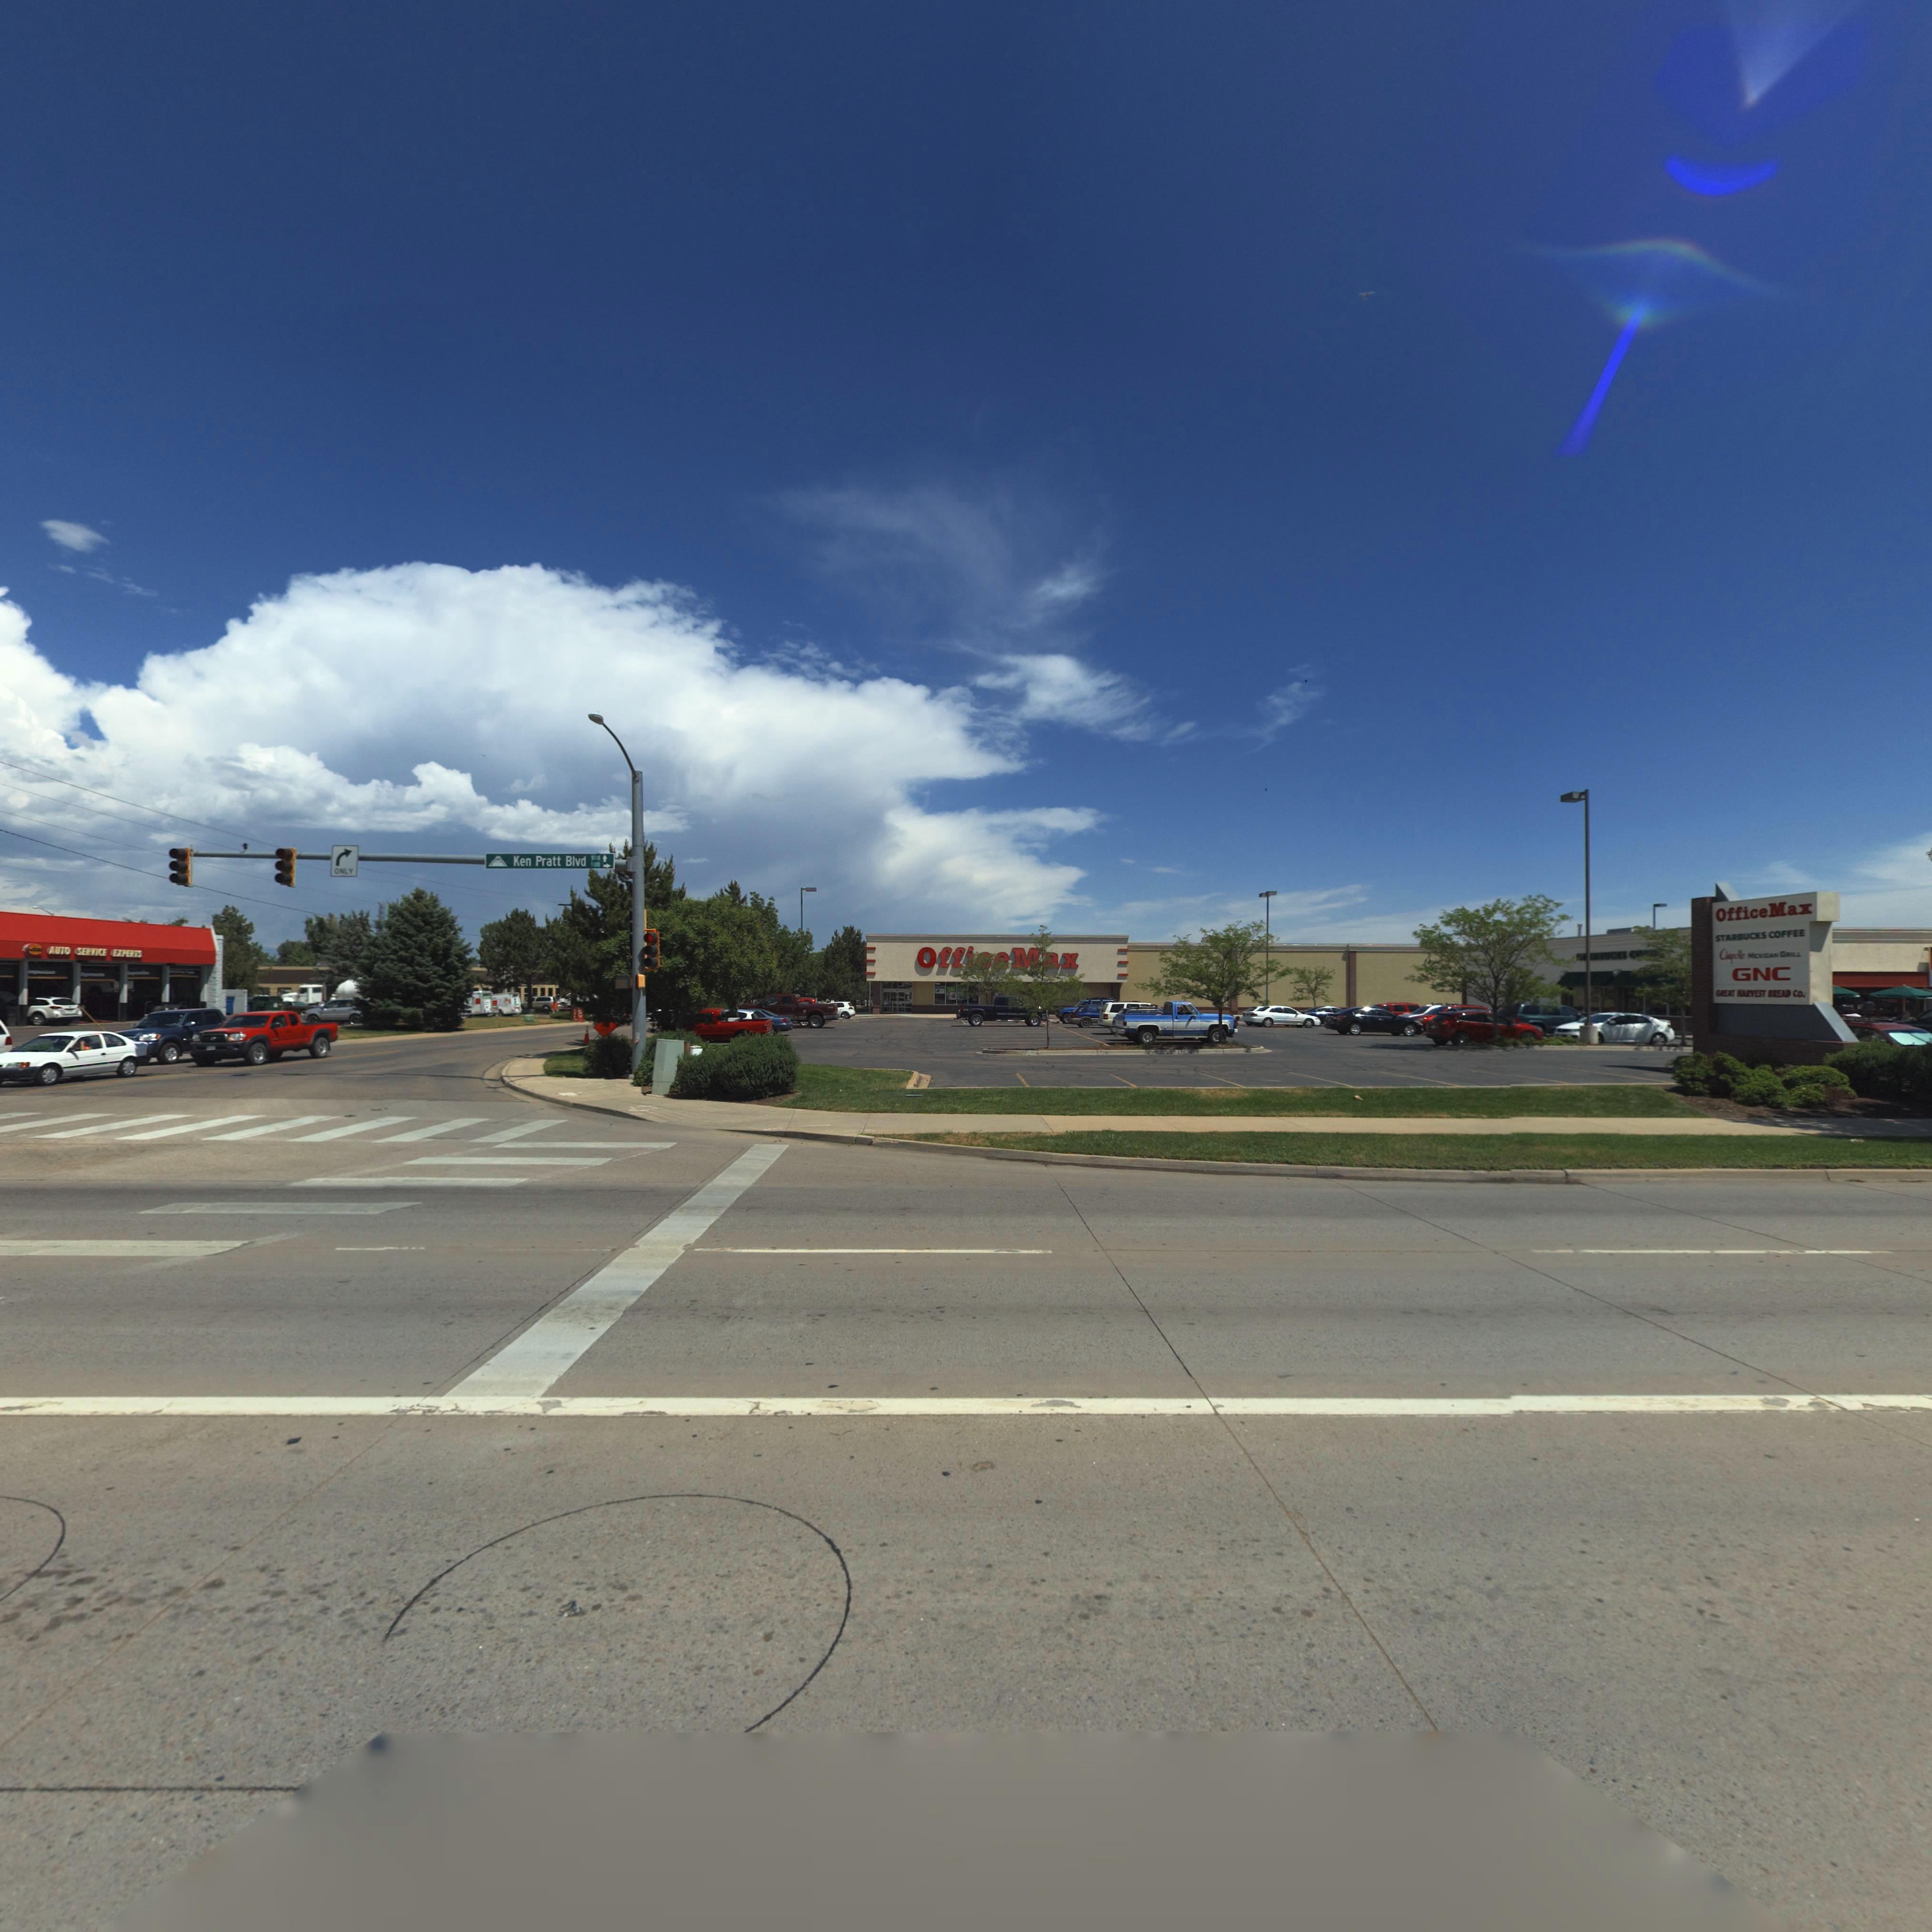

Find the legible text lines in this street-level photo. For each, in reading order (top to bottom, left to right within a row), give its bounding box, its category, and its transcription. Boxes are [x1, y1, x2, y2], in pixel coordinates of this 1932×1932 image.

[513, 855, 586, 867] StreetName: Ken Pratt Blvd
[590, 855, 600, 860] StreetNumberRange: 500
[590, 861, 611, 868] StreetNumberRange: 1*00->
[1715, 901, 1813, 922] BusinessName: OfficeMax
[1715, 928, 1805, 942] BusinessName: STARBUCKS COFFEE
[916, 945, 1079, 968] BusinessName: OfficeMax
[1575, 948, 1666, 962] BusinessName: S***BUCKS CO****
[1719, 947, 1802, 965] BusinessName: Ch*polte MEXICAN GR*LL
[1731, 966, 1791, 981] BusinessName: GNC
[1715, 989, 1806, 997] BusinessName: GREAT HARVEST BREAD Co.